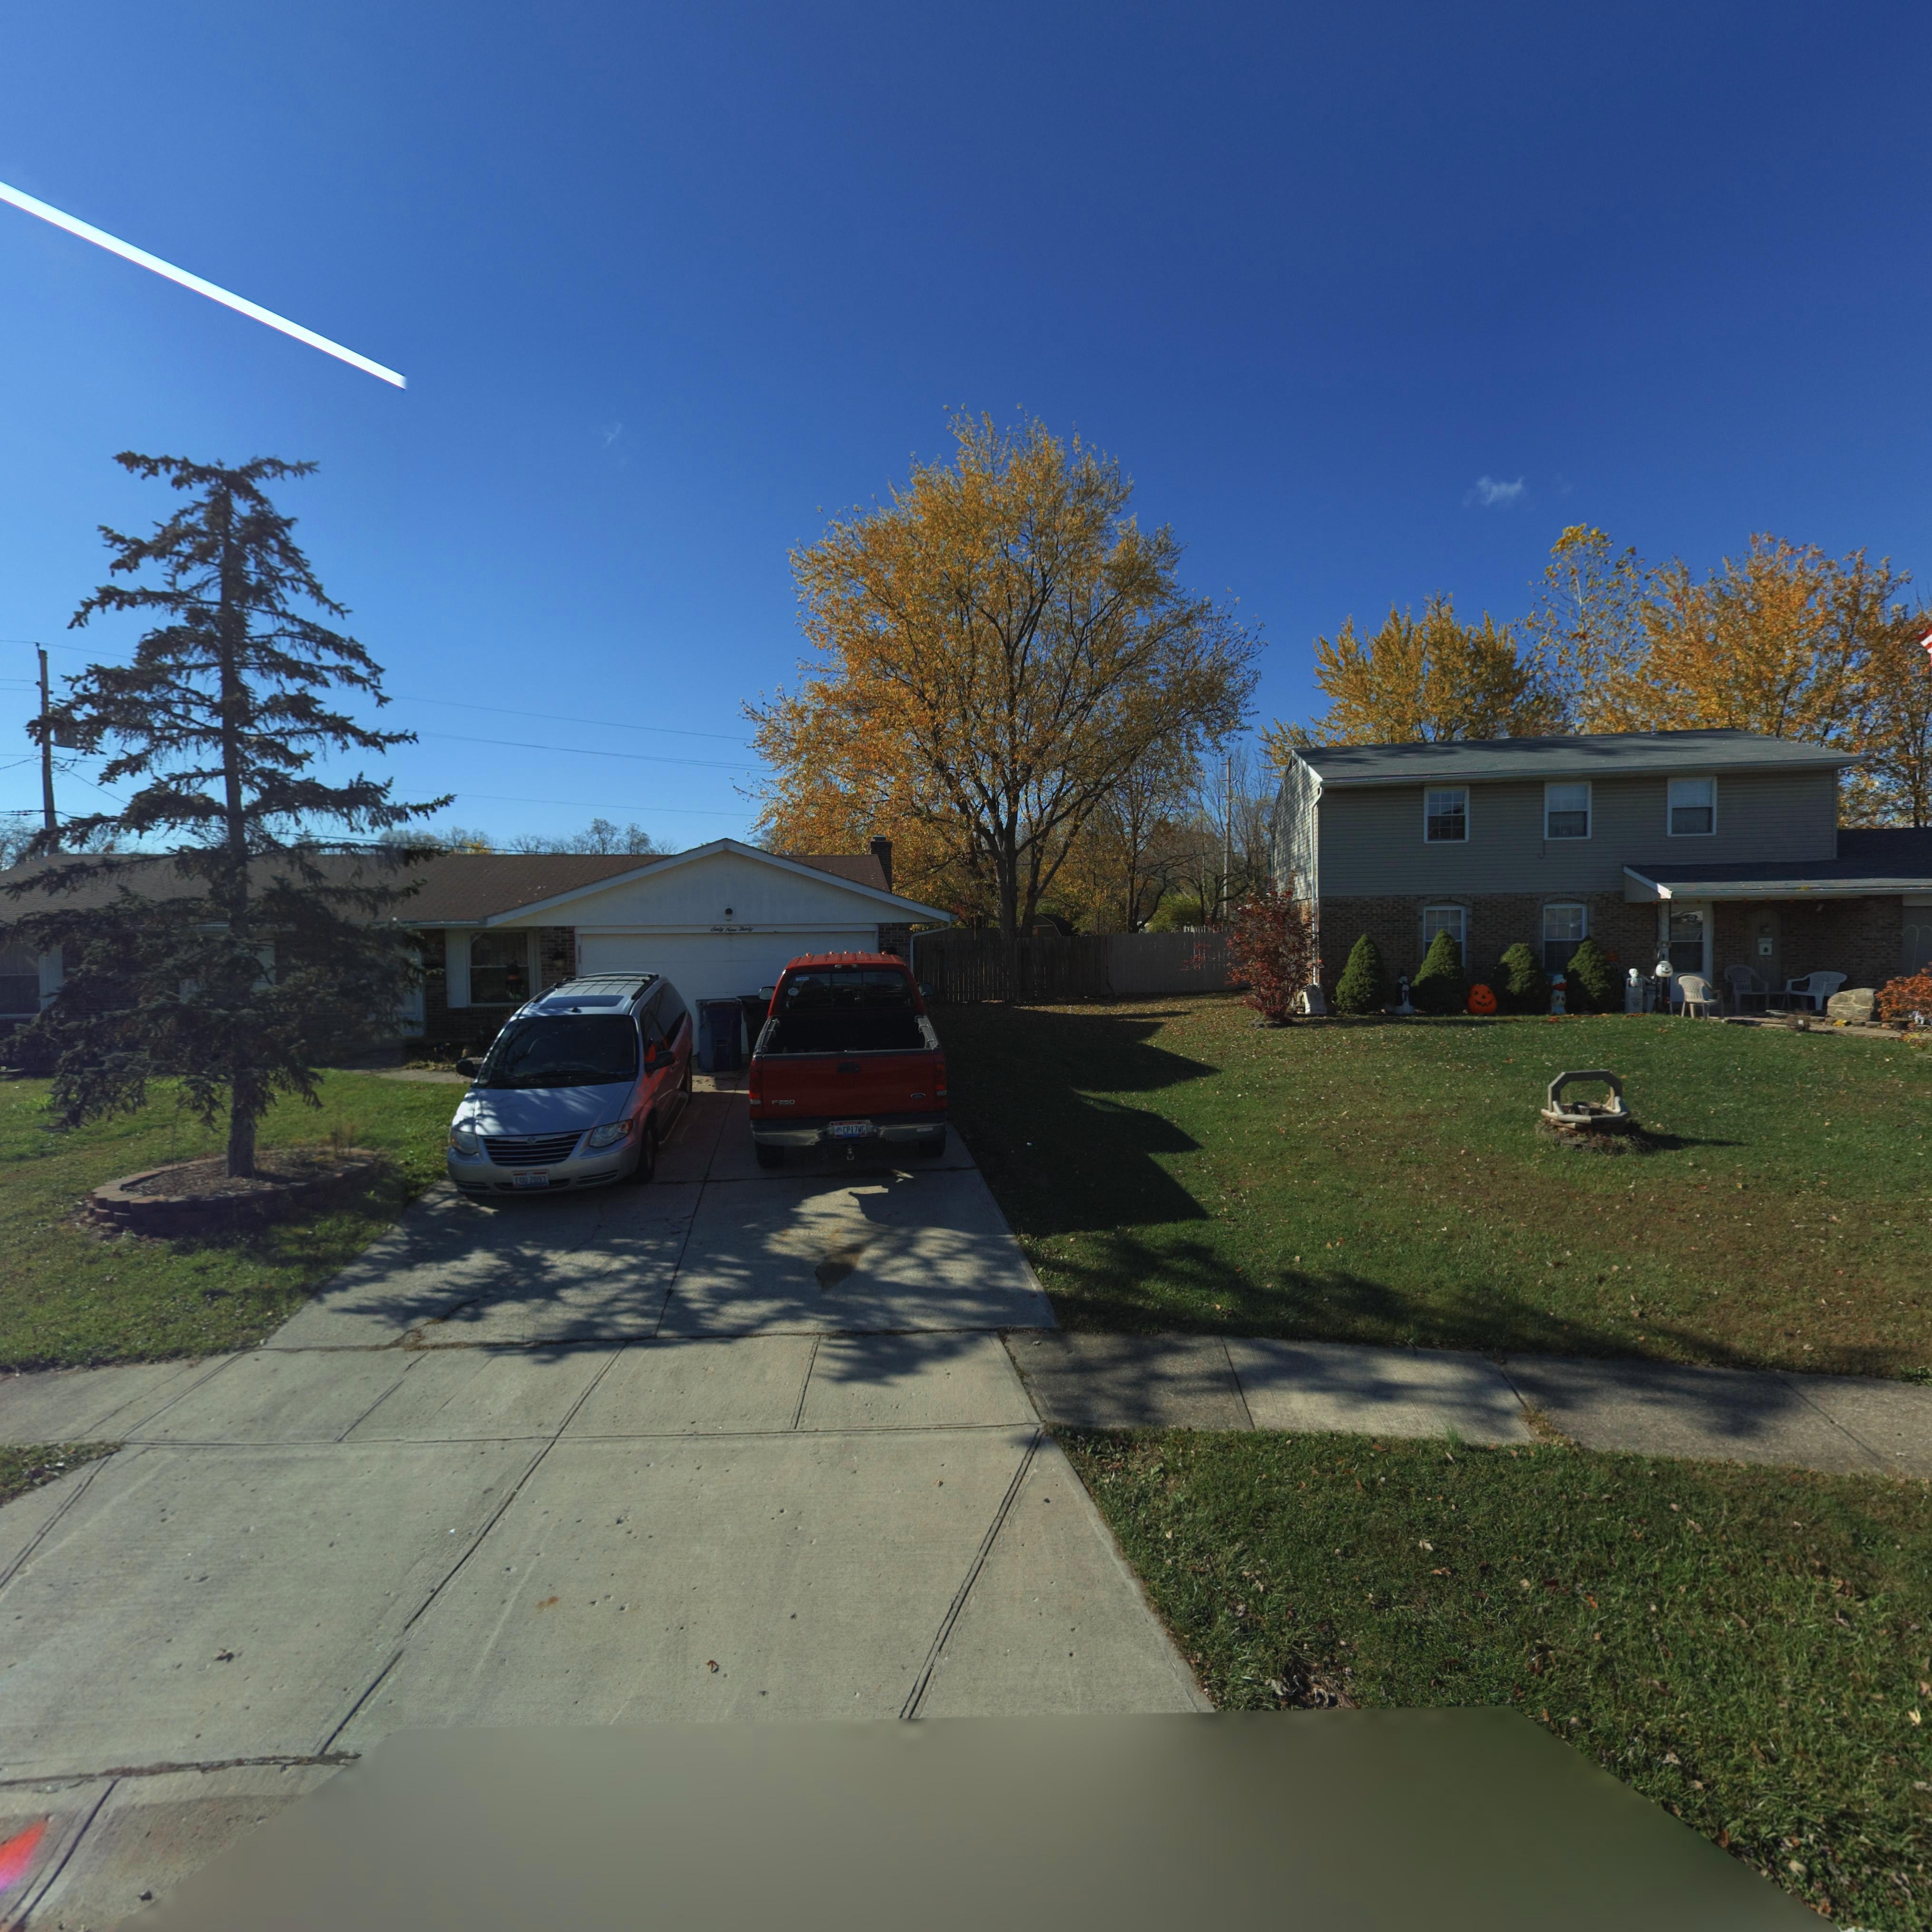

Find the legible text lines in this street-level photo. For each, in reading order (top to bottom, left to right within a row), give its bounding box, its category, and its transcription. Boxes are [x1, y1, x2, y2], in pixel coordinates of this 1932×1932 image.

[709, 926, 754, 932] StreetNumber: Sixty Nine Thirty